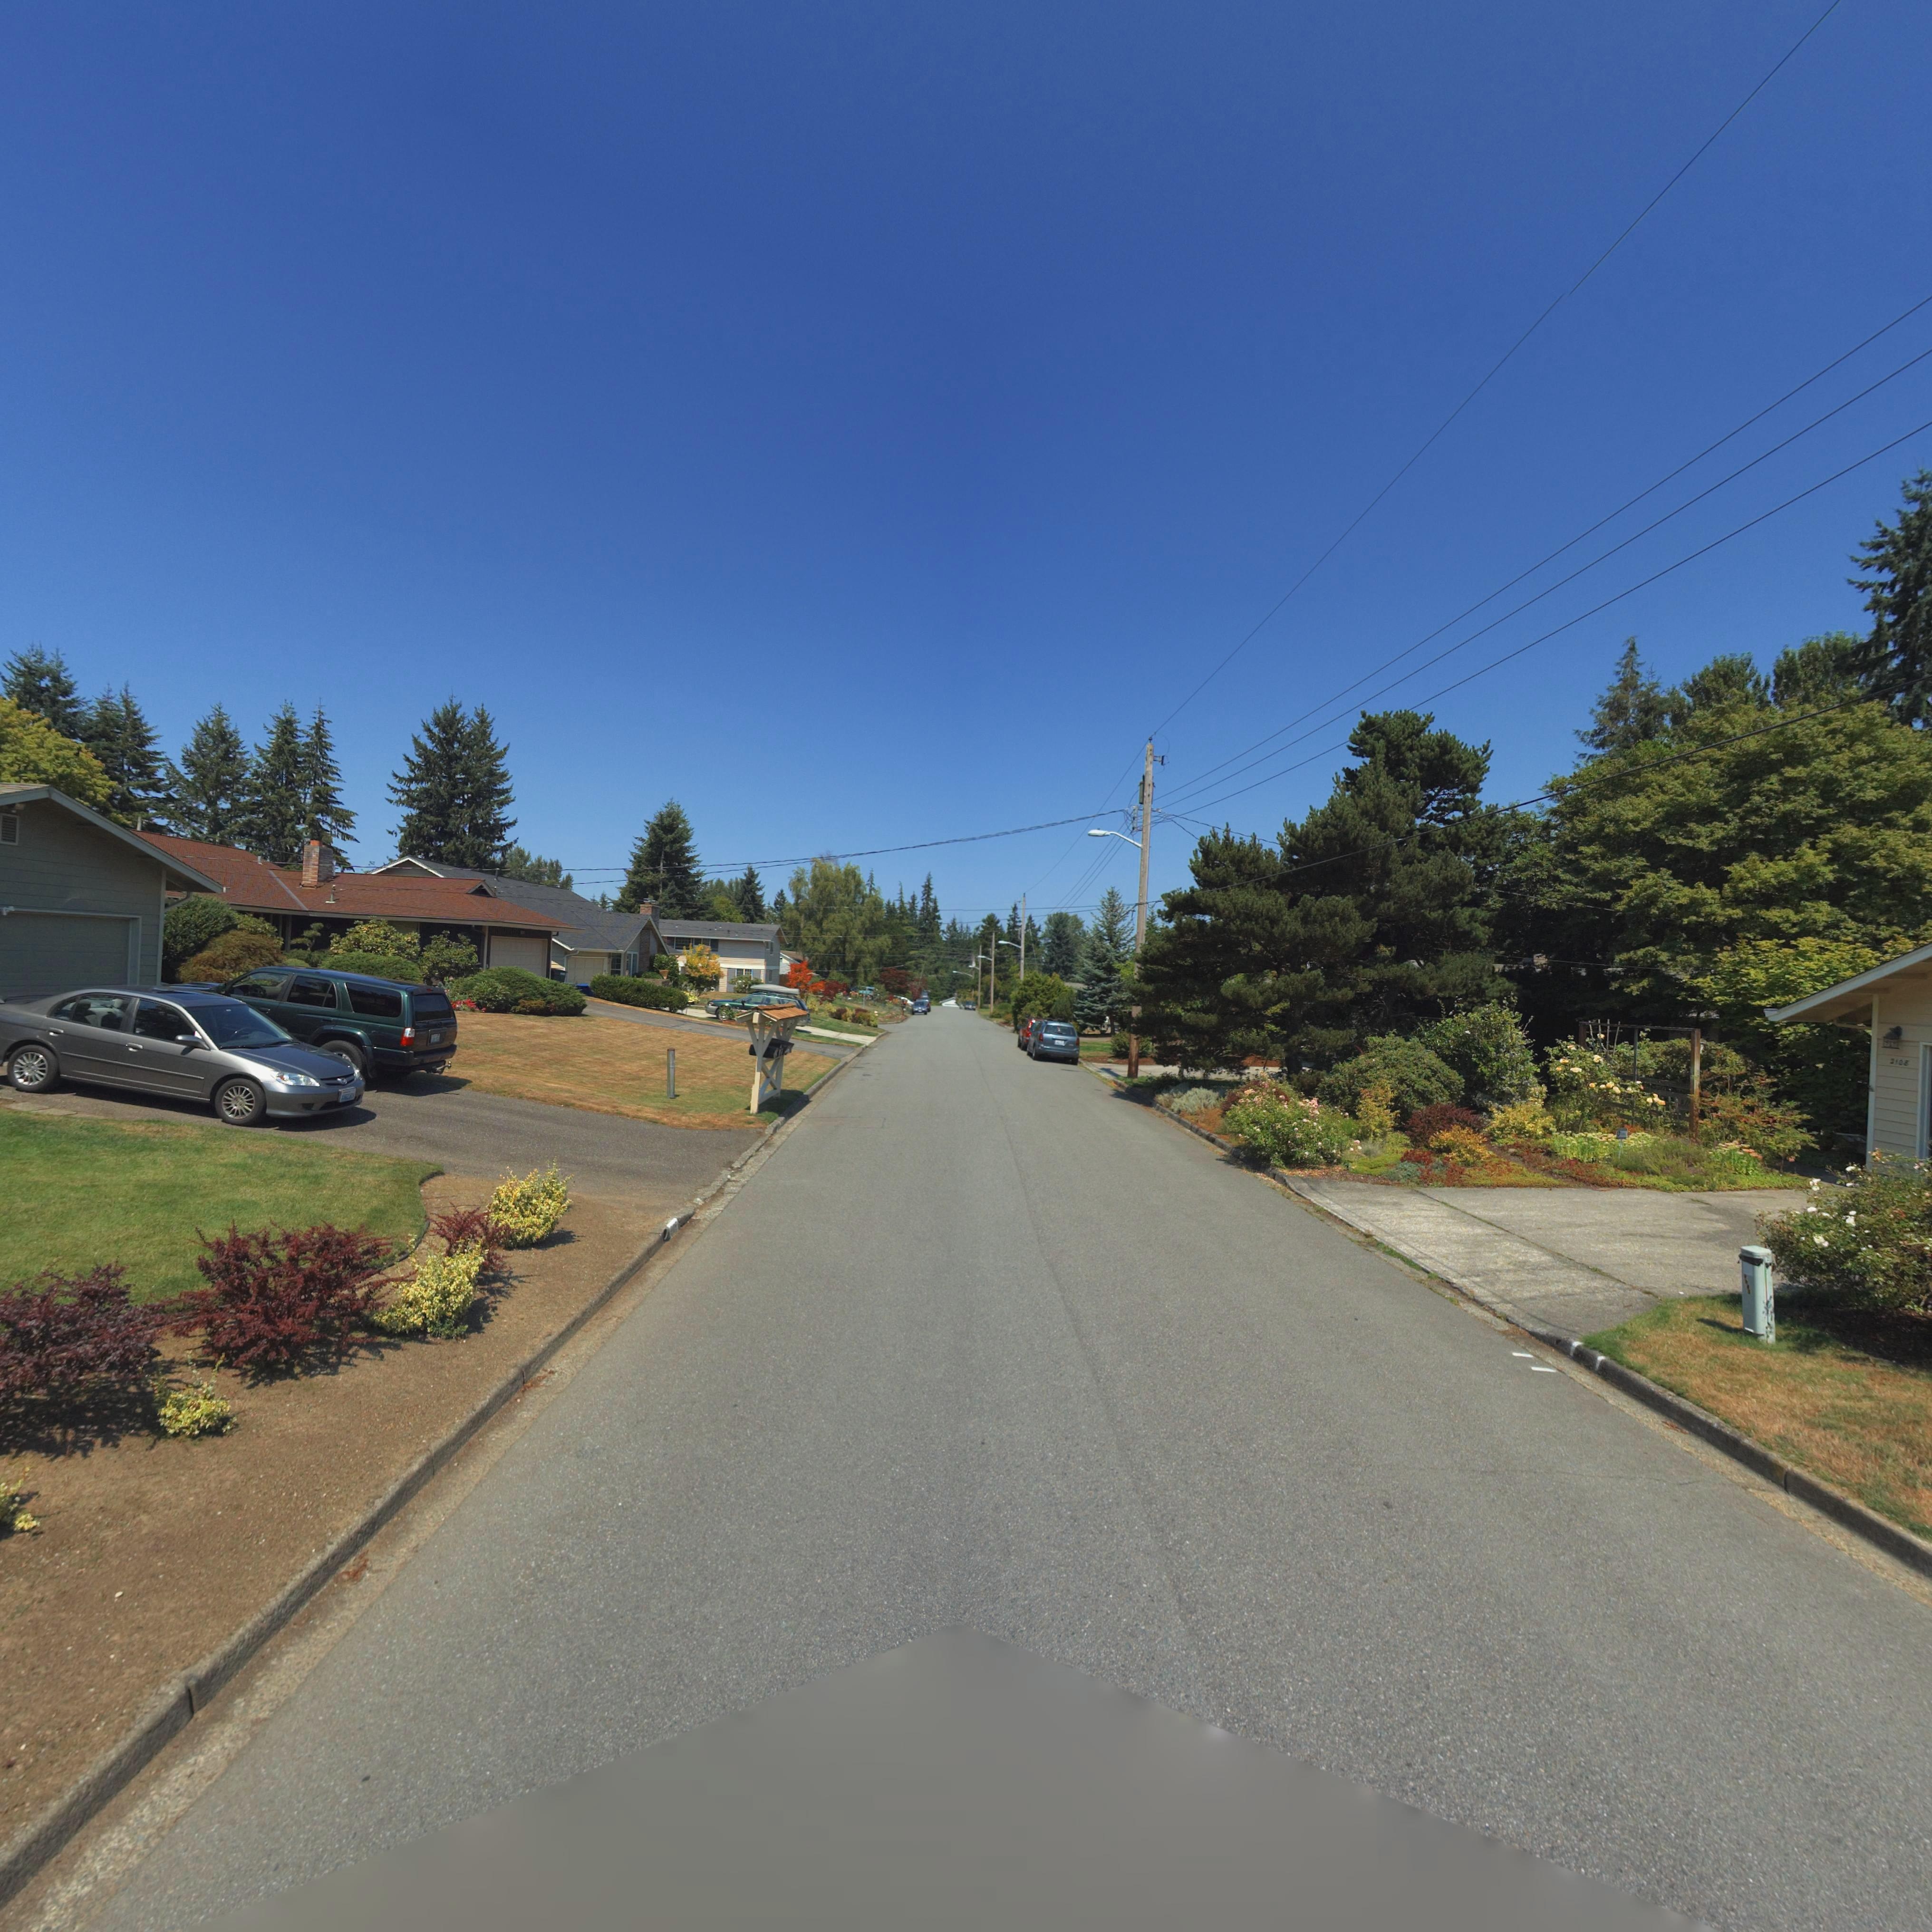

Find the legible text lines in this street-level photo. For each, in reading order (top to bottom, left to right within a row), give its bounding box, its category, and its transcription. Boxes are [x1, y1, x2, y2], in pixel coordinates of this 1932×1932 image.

[1888, 1057, 1910, 1066] StreetNumber: *1**